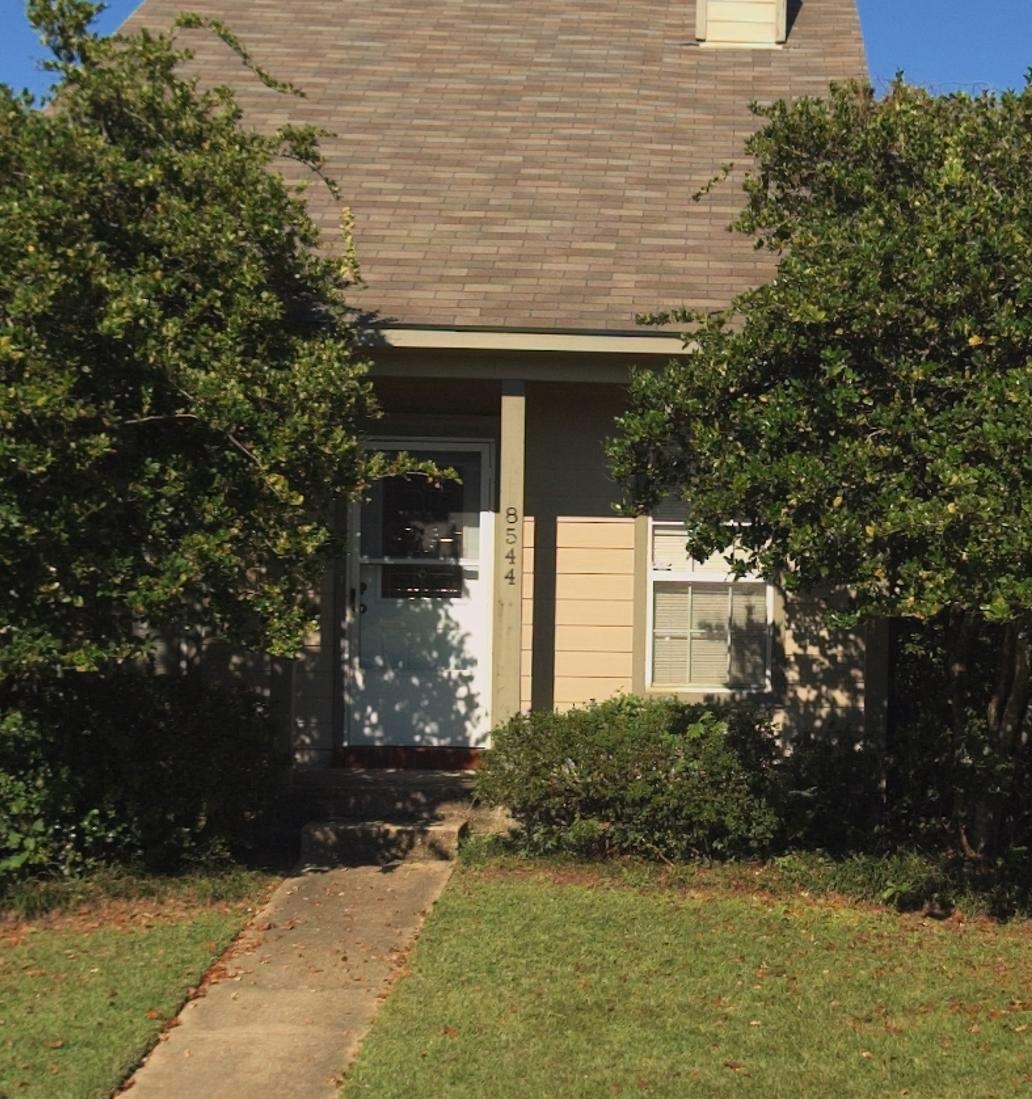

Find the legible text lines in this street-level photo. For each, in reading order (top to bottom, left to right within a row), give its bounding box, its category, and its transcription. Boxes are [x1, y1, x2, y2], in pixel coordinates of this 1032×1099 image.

[504, 506, 519, 586] StreetNumber: 8544